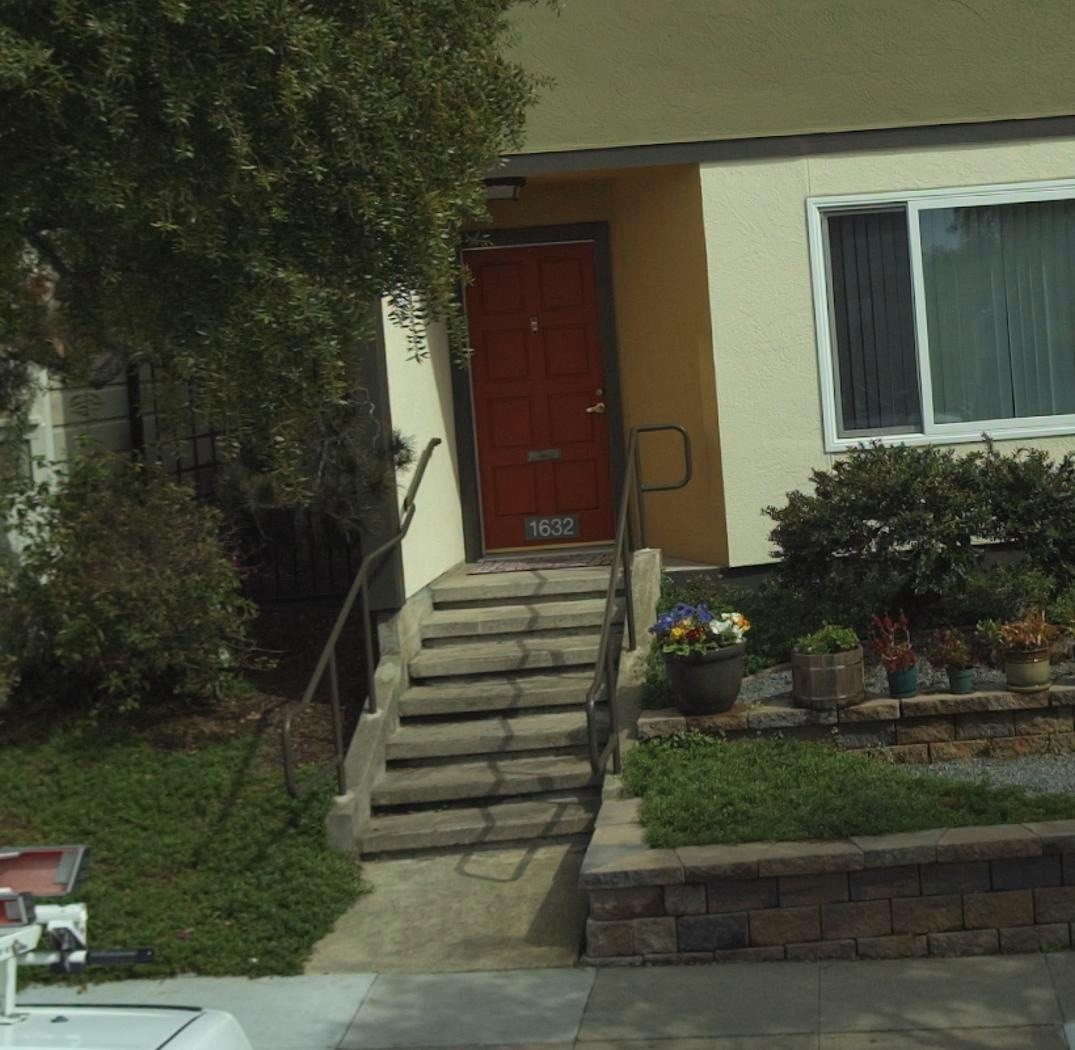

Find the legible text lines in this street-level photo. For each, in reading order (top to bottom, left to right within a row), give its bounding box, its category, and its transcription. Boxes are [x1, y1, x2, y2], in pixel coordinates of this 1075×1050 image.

[525, 515, 577, 540] StreetNumber: 1632